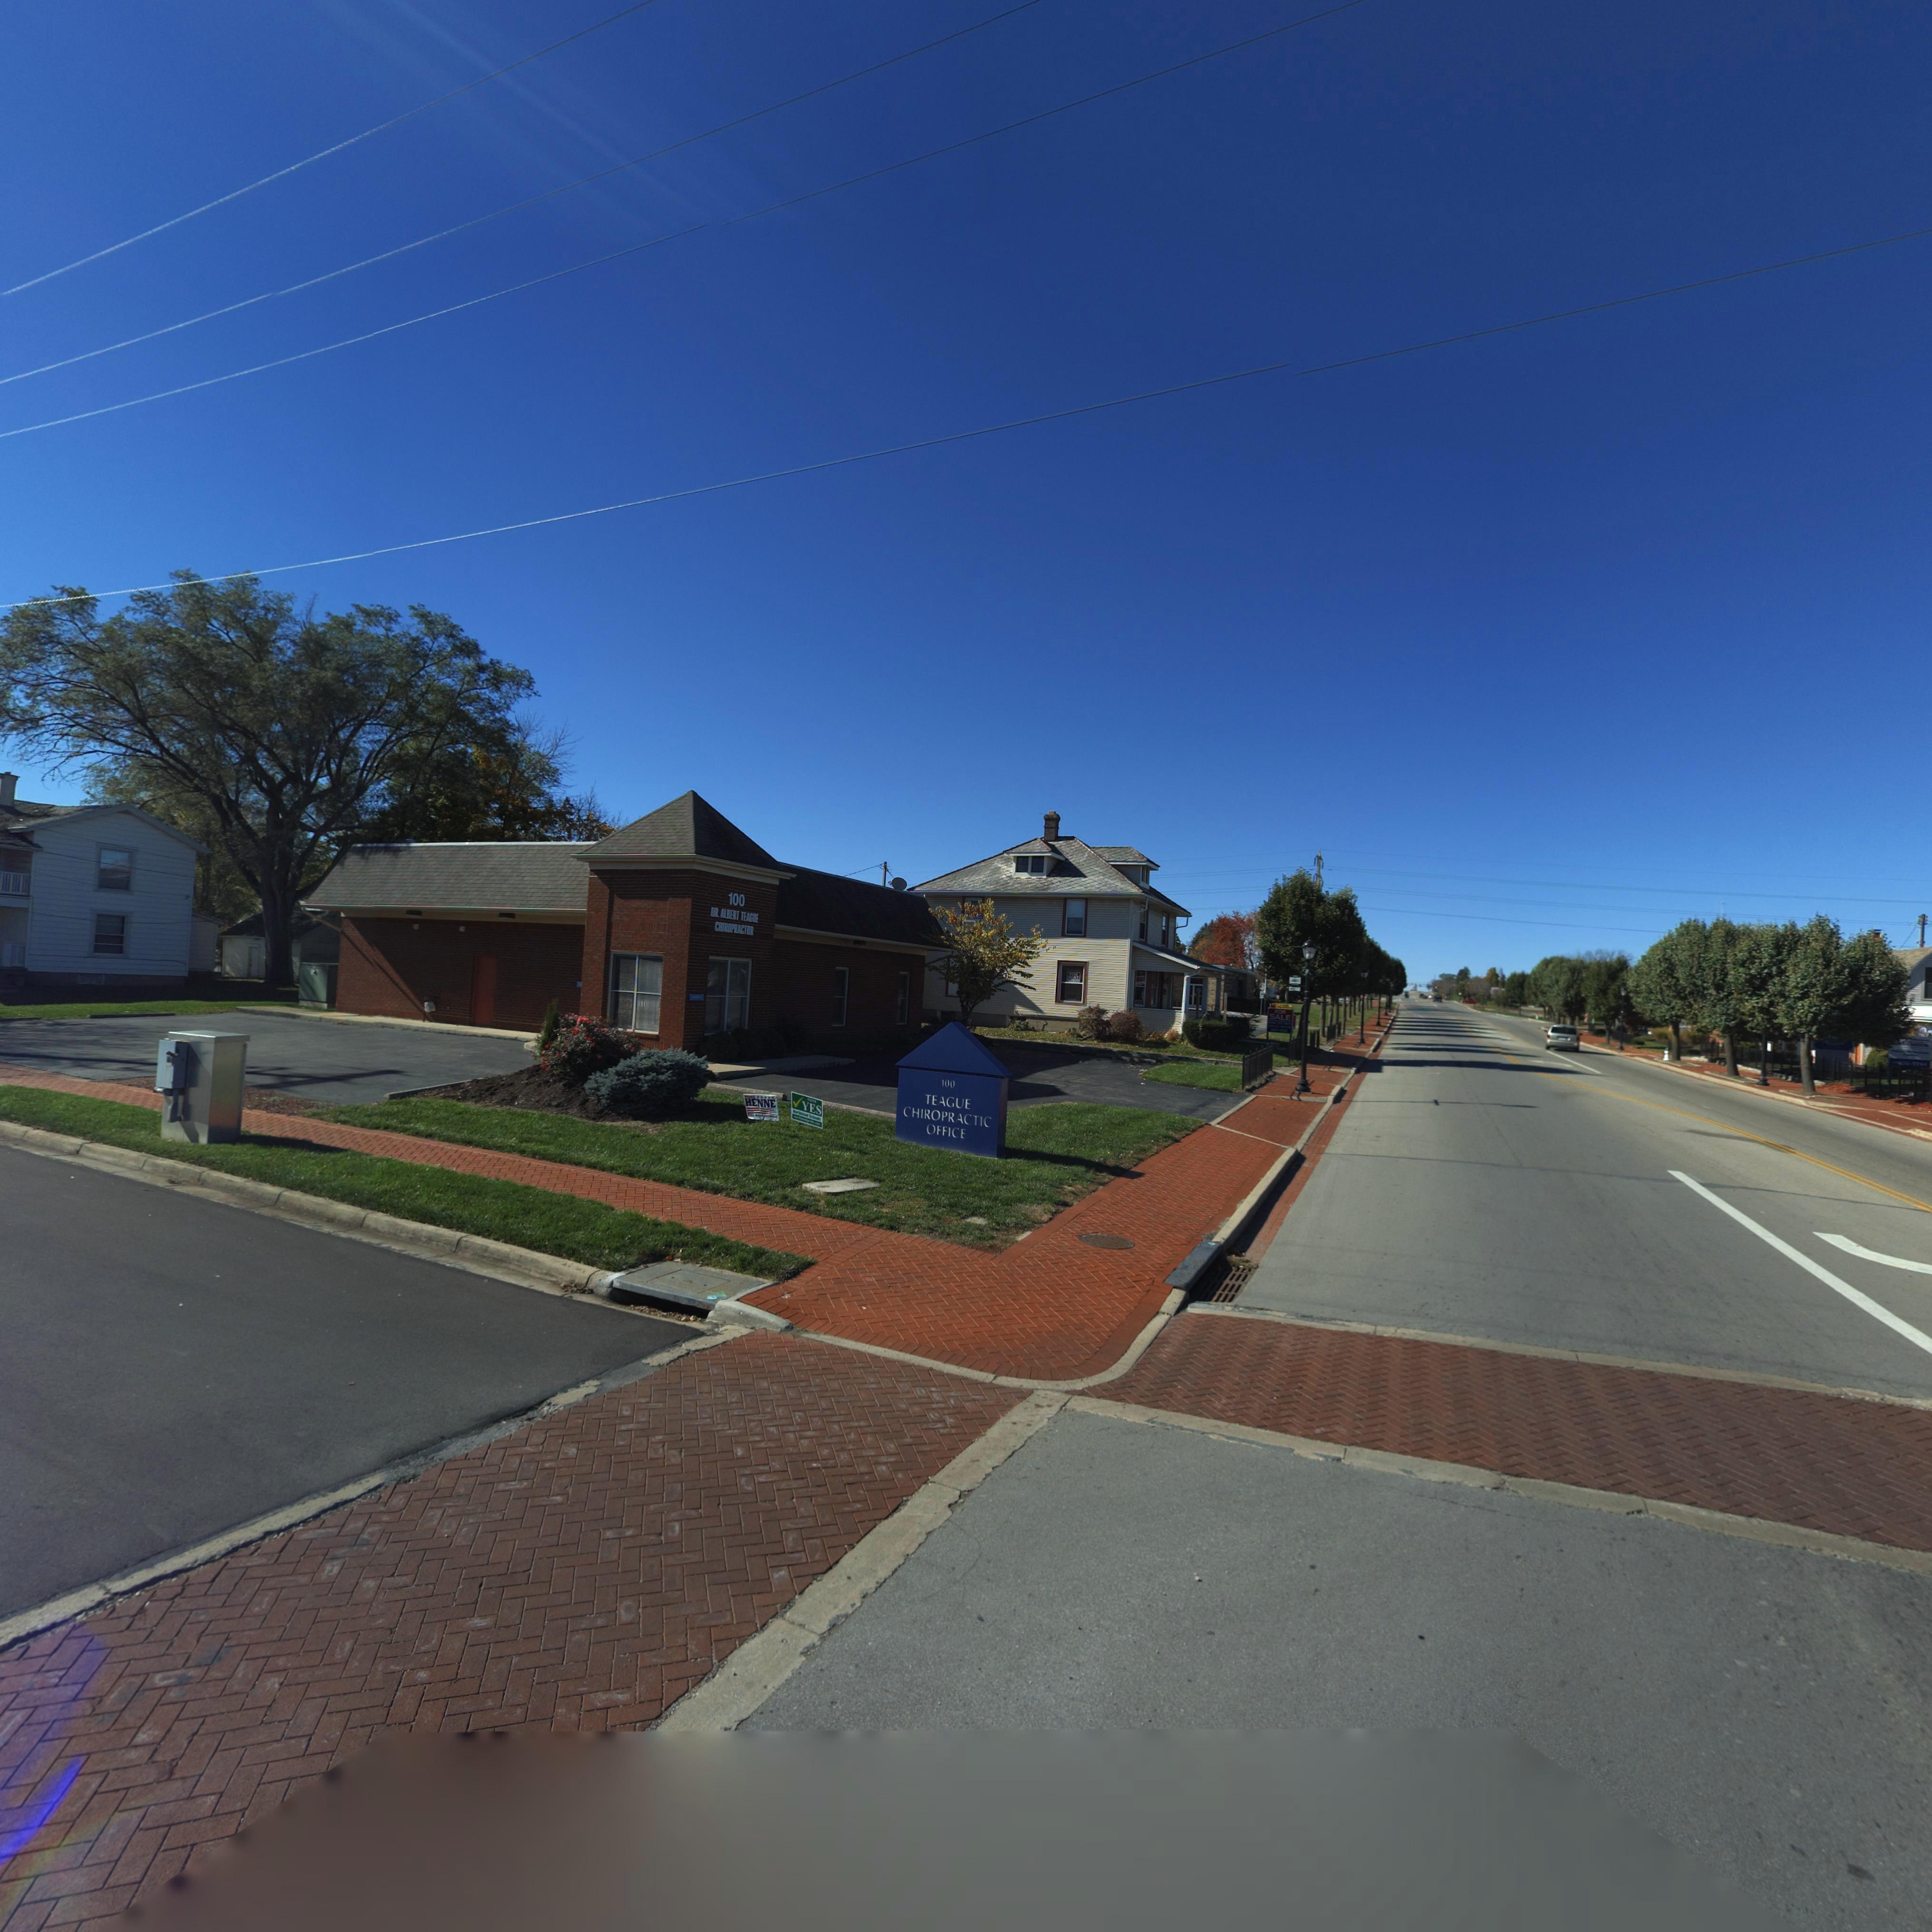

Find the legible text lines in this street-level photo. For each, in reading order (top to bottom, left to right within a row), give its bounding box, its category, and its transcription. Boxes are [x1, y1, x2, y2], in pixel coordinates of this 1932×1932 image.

[728, 891, 745, 907] StreetNumber: 100
[710, 906, 760, 924] BusinessName: DR. ALBERT TEAGUE
[714, 920, 755, 937] BusinessName: CHIROPRACTOR
[941, 1079, 956, 1089] StreetNumber: 100
[924, 1093, 972, 1111] BusinessName: TEAGUE
[902, 1105, 993, 1129] BusinessName: CHIROPRACTIC
[925, 1122, 967, 1140] BusinessName: OFFICE